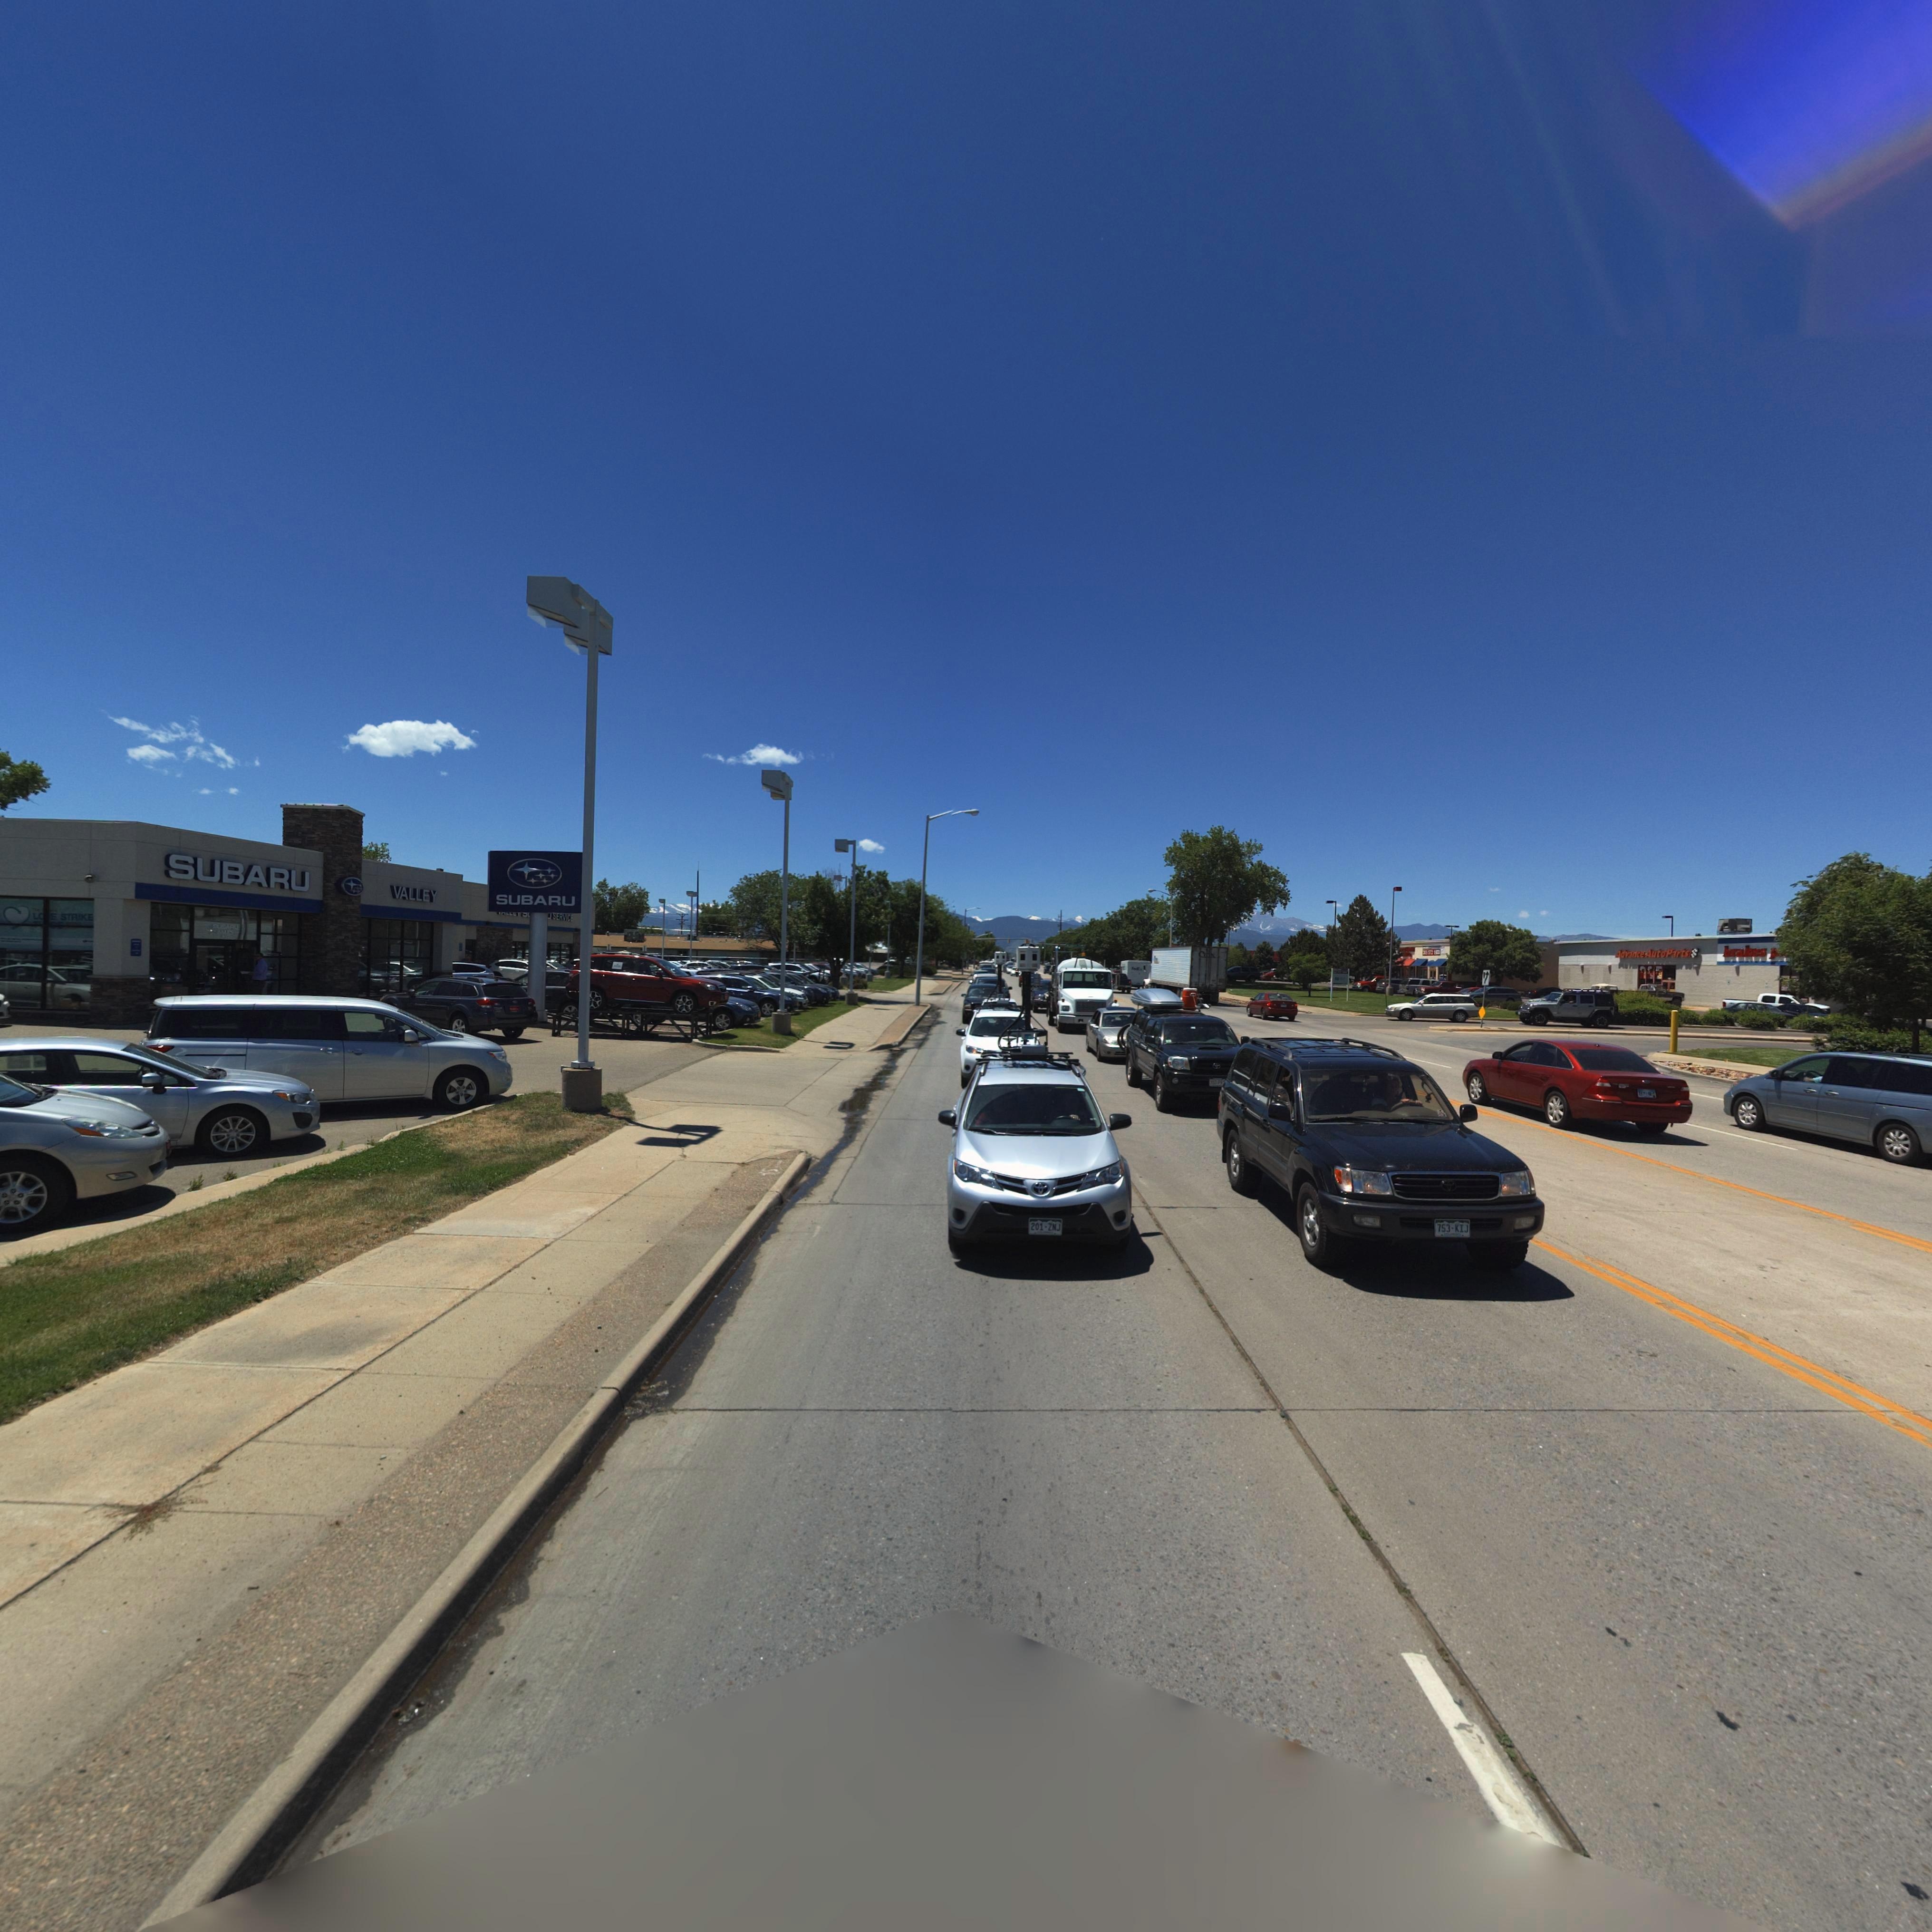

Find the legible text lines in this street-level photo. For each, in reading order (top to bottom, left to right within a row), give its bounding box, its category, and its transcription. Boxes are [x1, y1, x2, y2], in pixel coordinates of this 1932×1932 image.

[168, 852, 310, 892] BusinessName: SUBARU
[393, 885, 438, 903] BusinessName: VALLEY
[495, 894, 576, 906] BusinessName: SUBARU
[1615, 948, 1691, 958] BusinessName: AdvanceAutoParts
[1723, 945, 1779, 960] BusinessName: brakes *